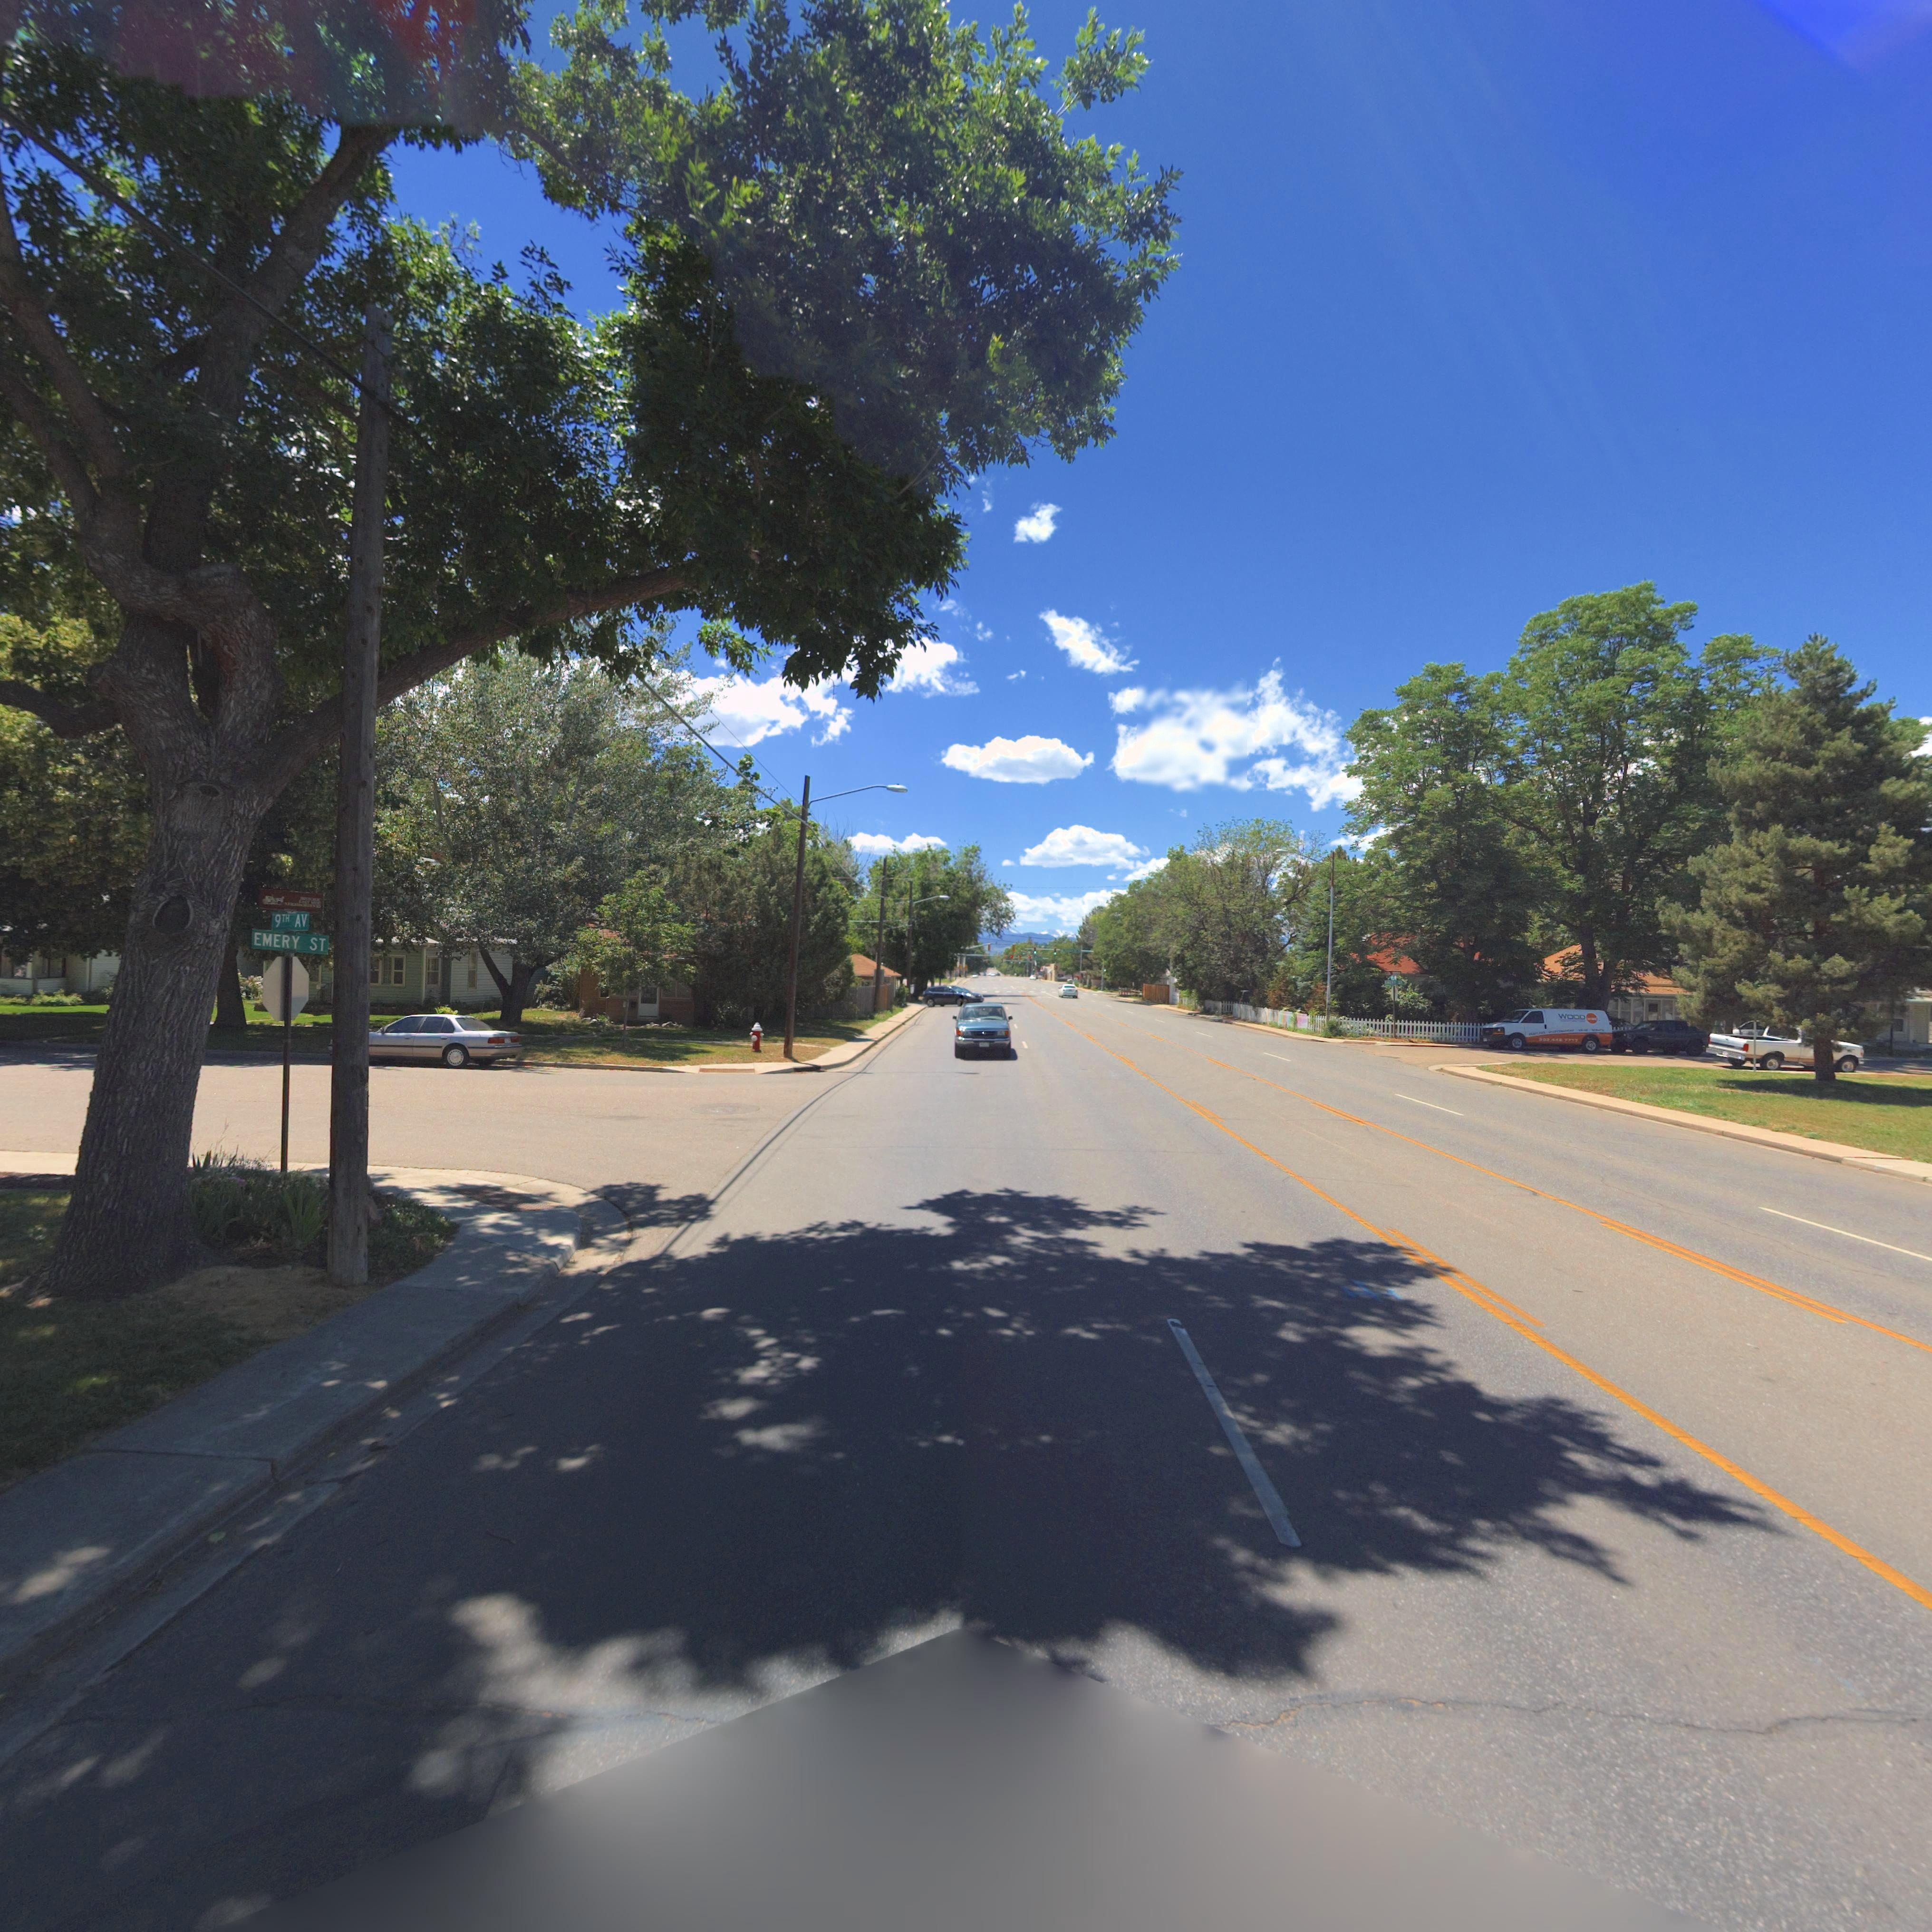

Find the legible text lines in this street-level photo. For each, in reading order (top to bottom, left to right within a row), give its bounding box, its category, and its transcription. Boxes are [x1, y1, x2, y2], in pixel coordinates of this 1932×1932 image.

[274, 913, 308, 928] StreetName: 9TH AV
[253, 931, 326, 952] StreetName: EMERY ST
[1384, 979, 1402, 985] StreetName: EMERY ST